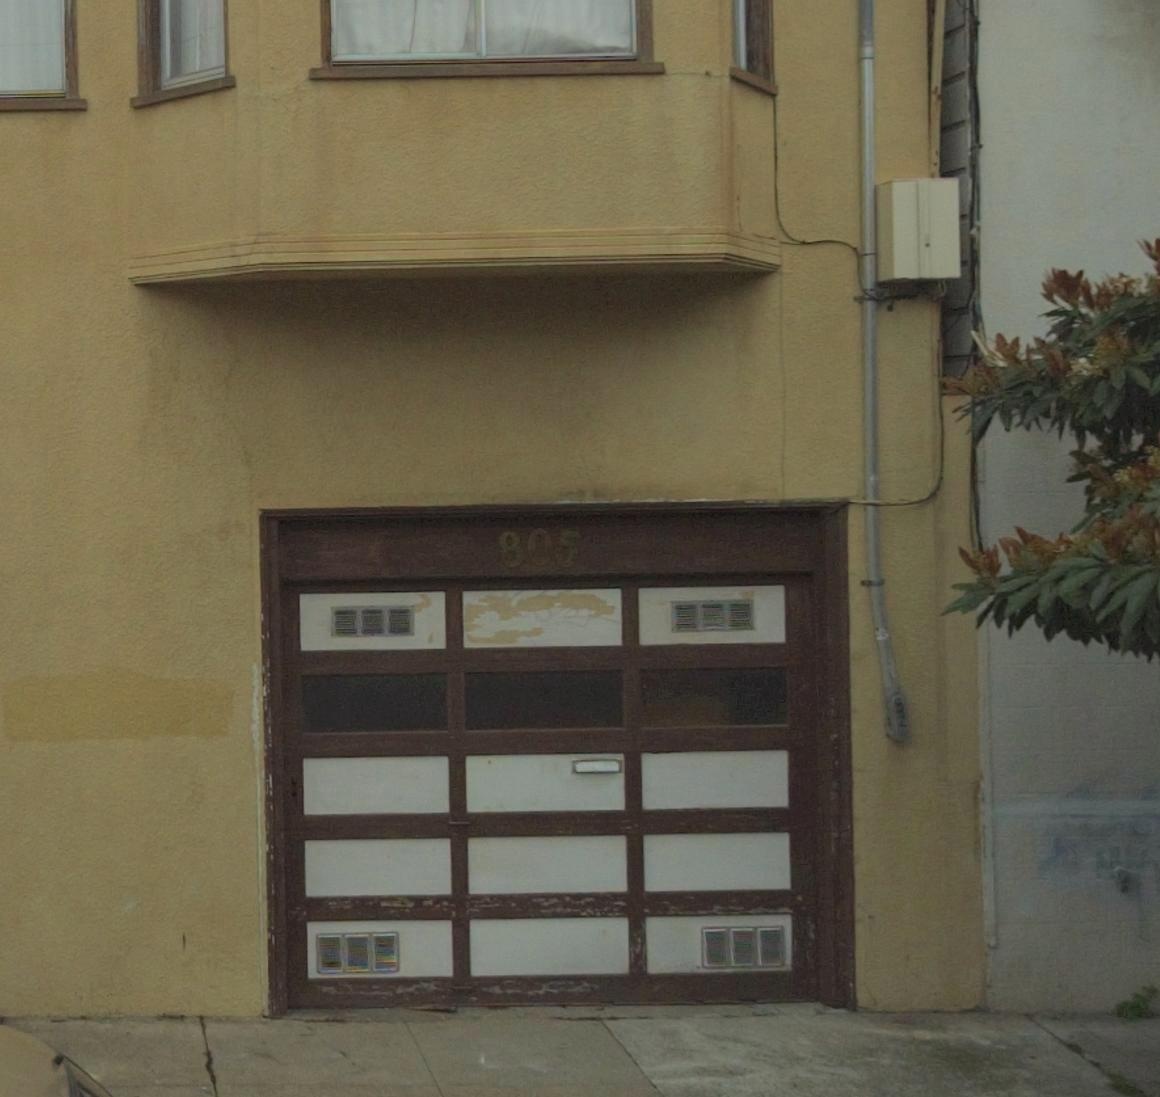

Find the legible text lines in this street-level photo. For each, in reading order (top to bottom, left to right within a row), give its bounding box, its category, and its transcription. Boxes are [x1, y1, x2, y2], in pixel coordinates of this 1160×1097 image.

[497, 527, 583, 570] StreetNumber: 805